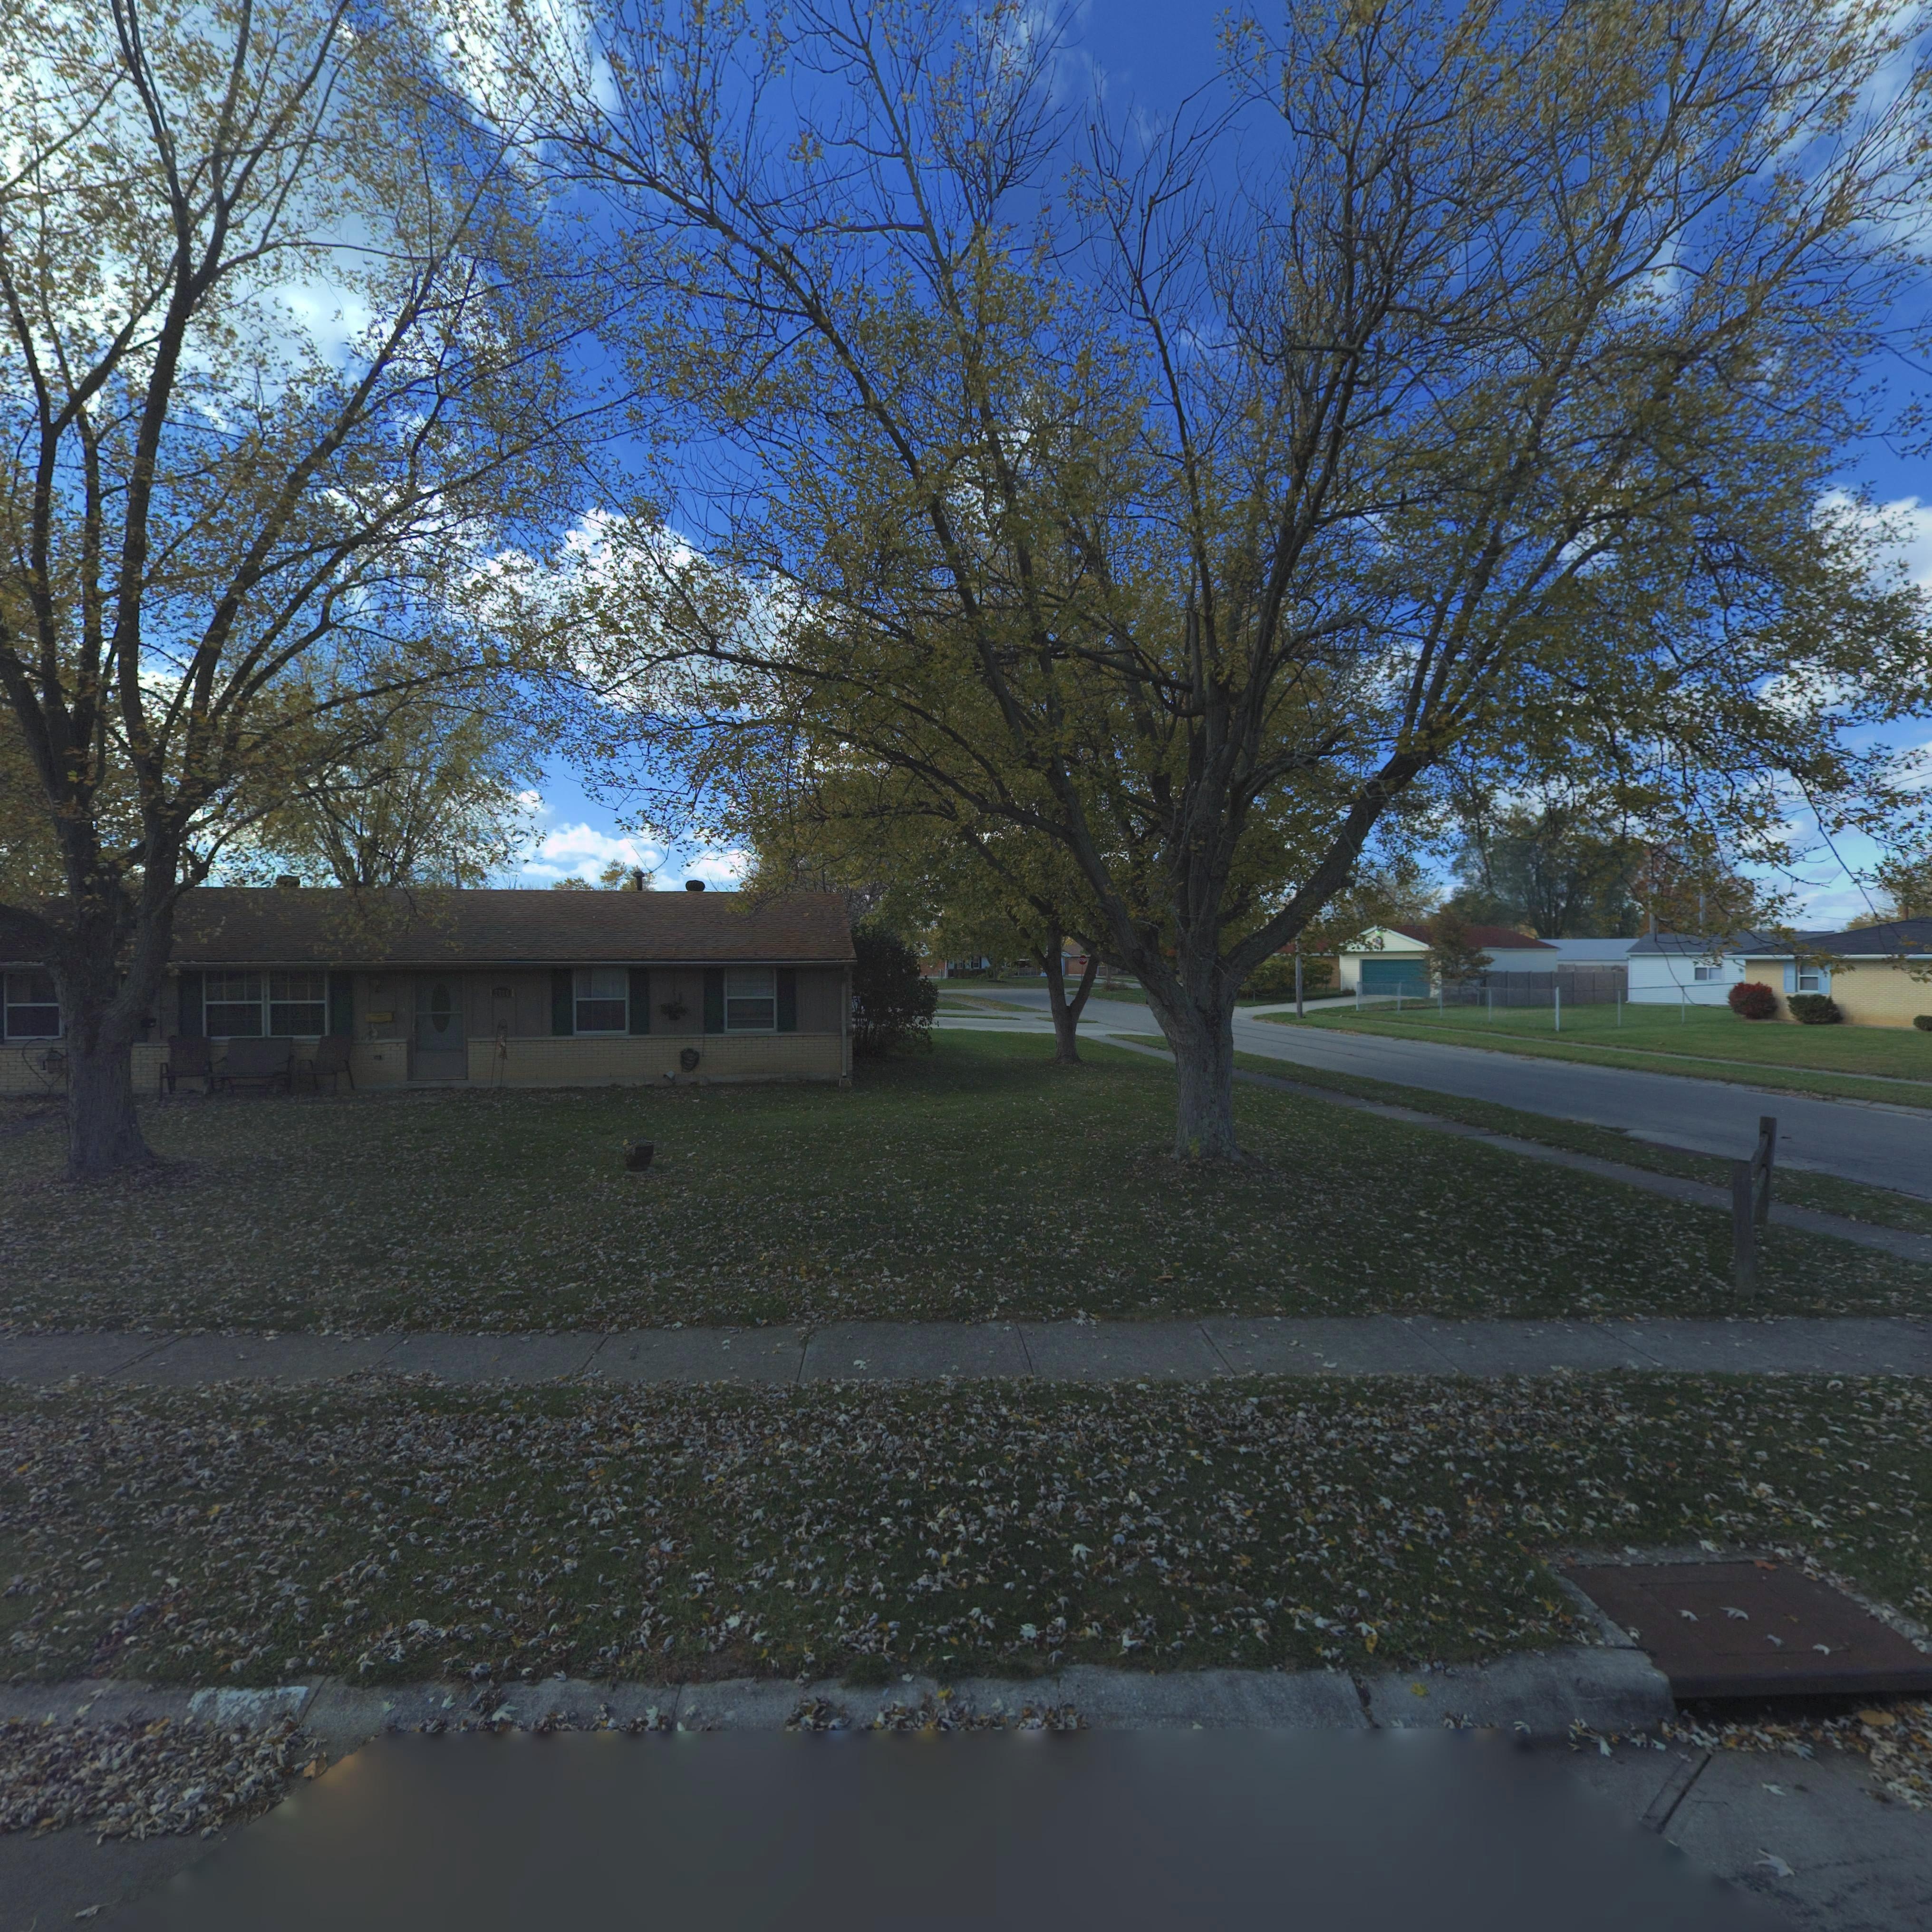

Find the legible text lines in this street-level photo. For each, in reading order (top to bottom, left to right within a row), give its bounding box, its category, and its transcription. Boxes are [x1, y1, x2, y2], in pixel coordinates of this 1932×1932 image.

[493, 989, 510, 996] StreetNumber: 7780